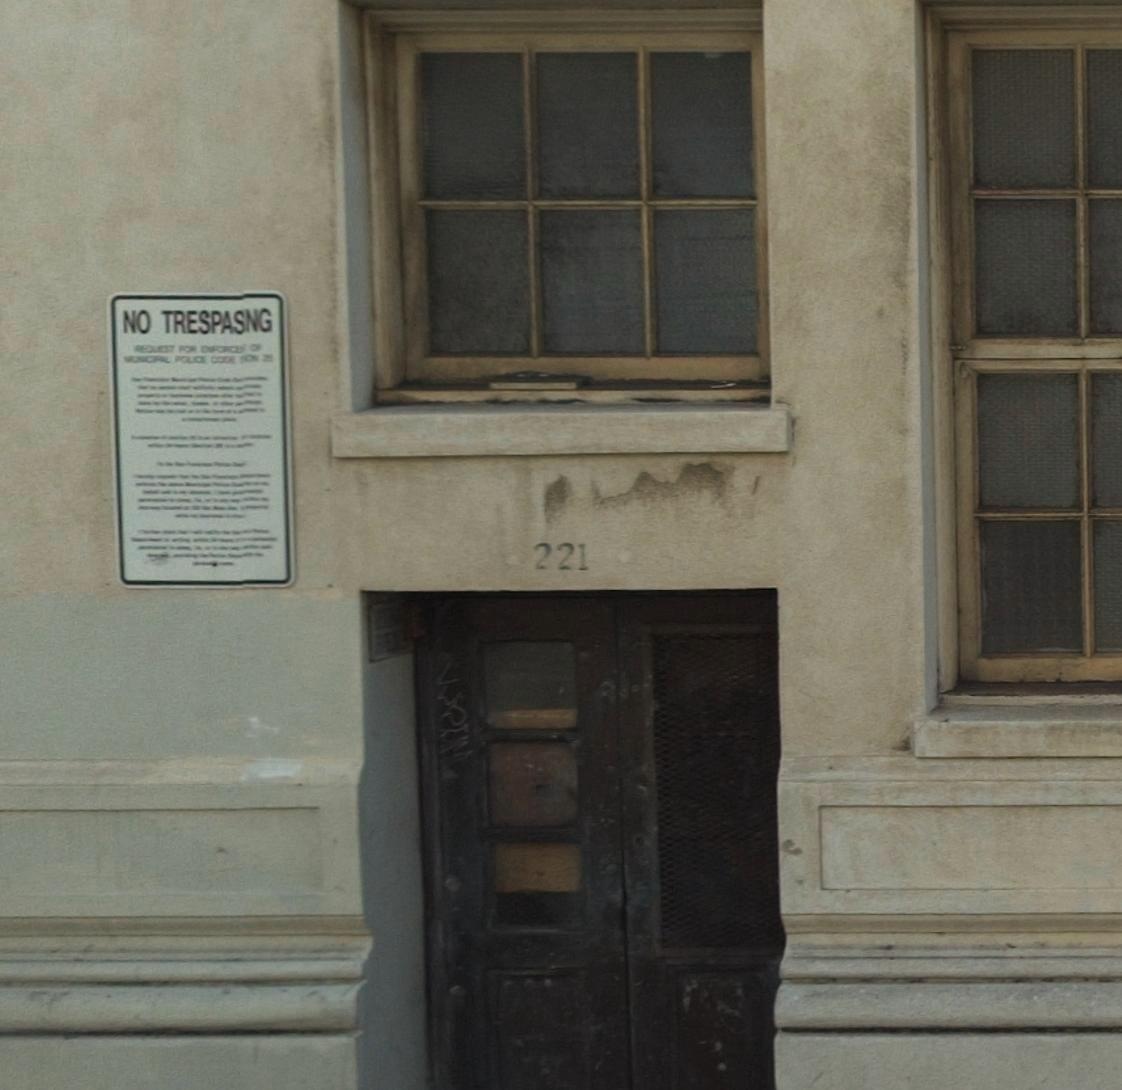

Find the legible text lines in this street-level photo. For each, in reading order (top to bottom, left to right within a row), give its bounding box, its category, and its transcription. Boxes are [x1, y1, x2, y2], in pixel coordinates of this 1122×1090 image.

[119, 304, 277, 335] None: NO TRESPAS*NG
[530, 540, 591, 573] StreetNumber: 221